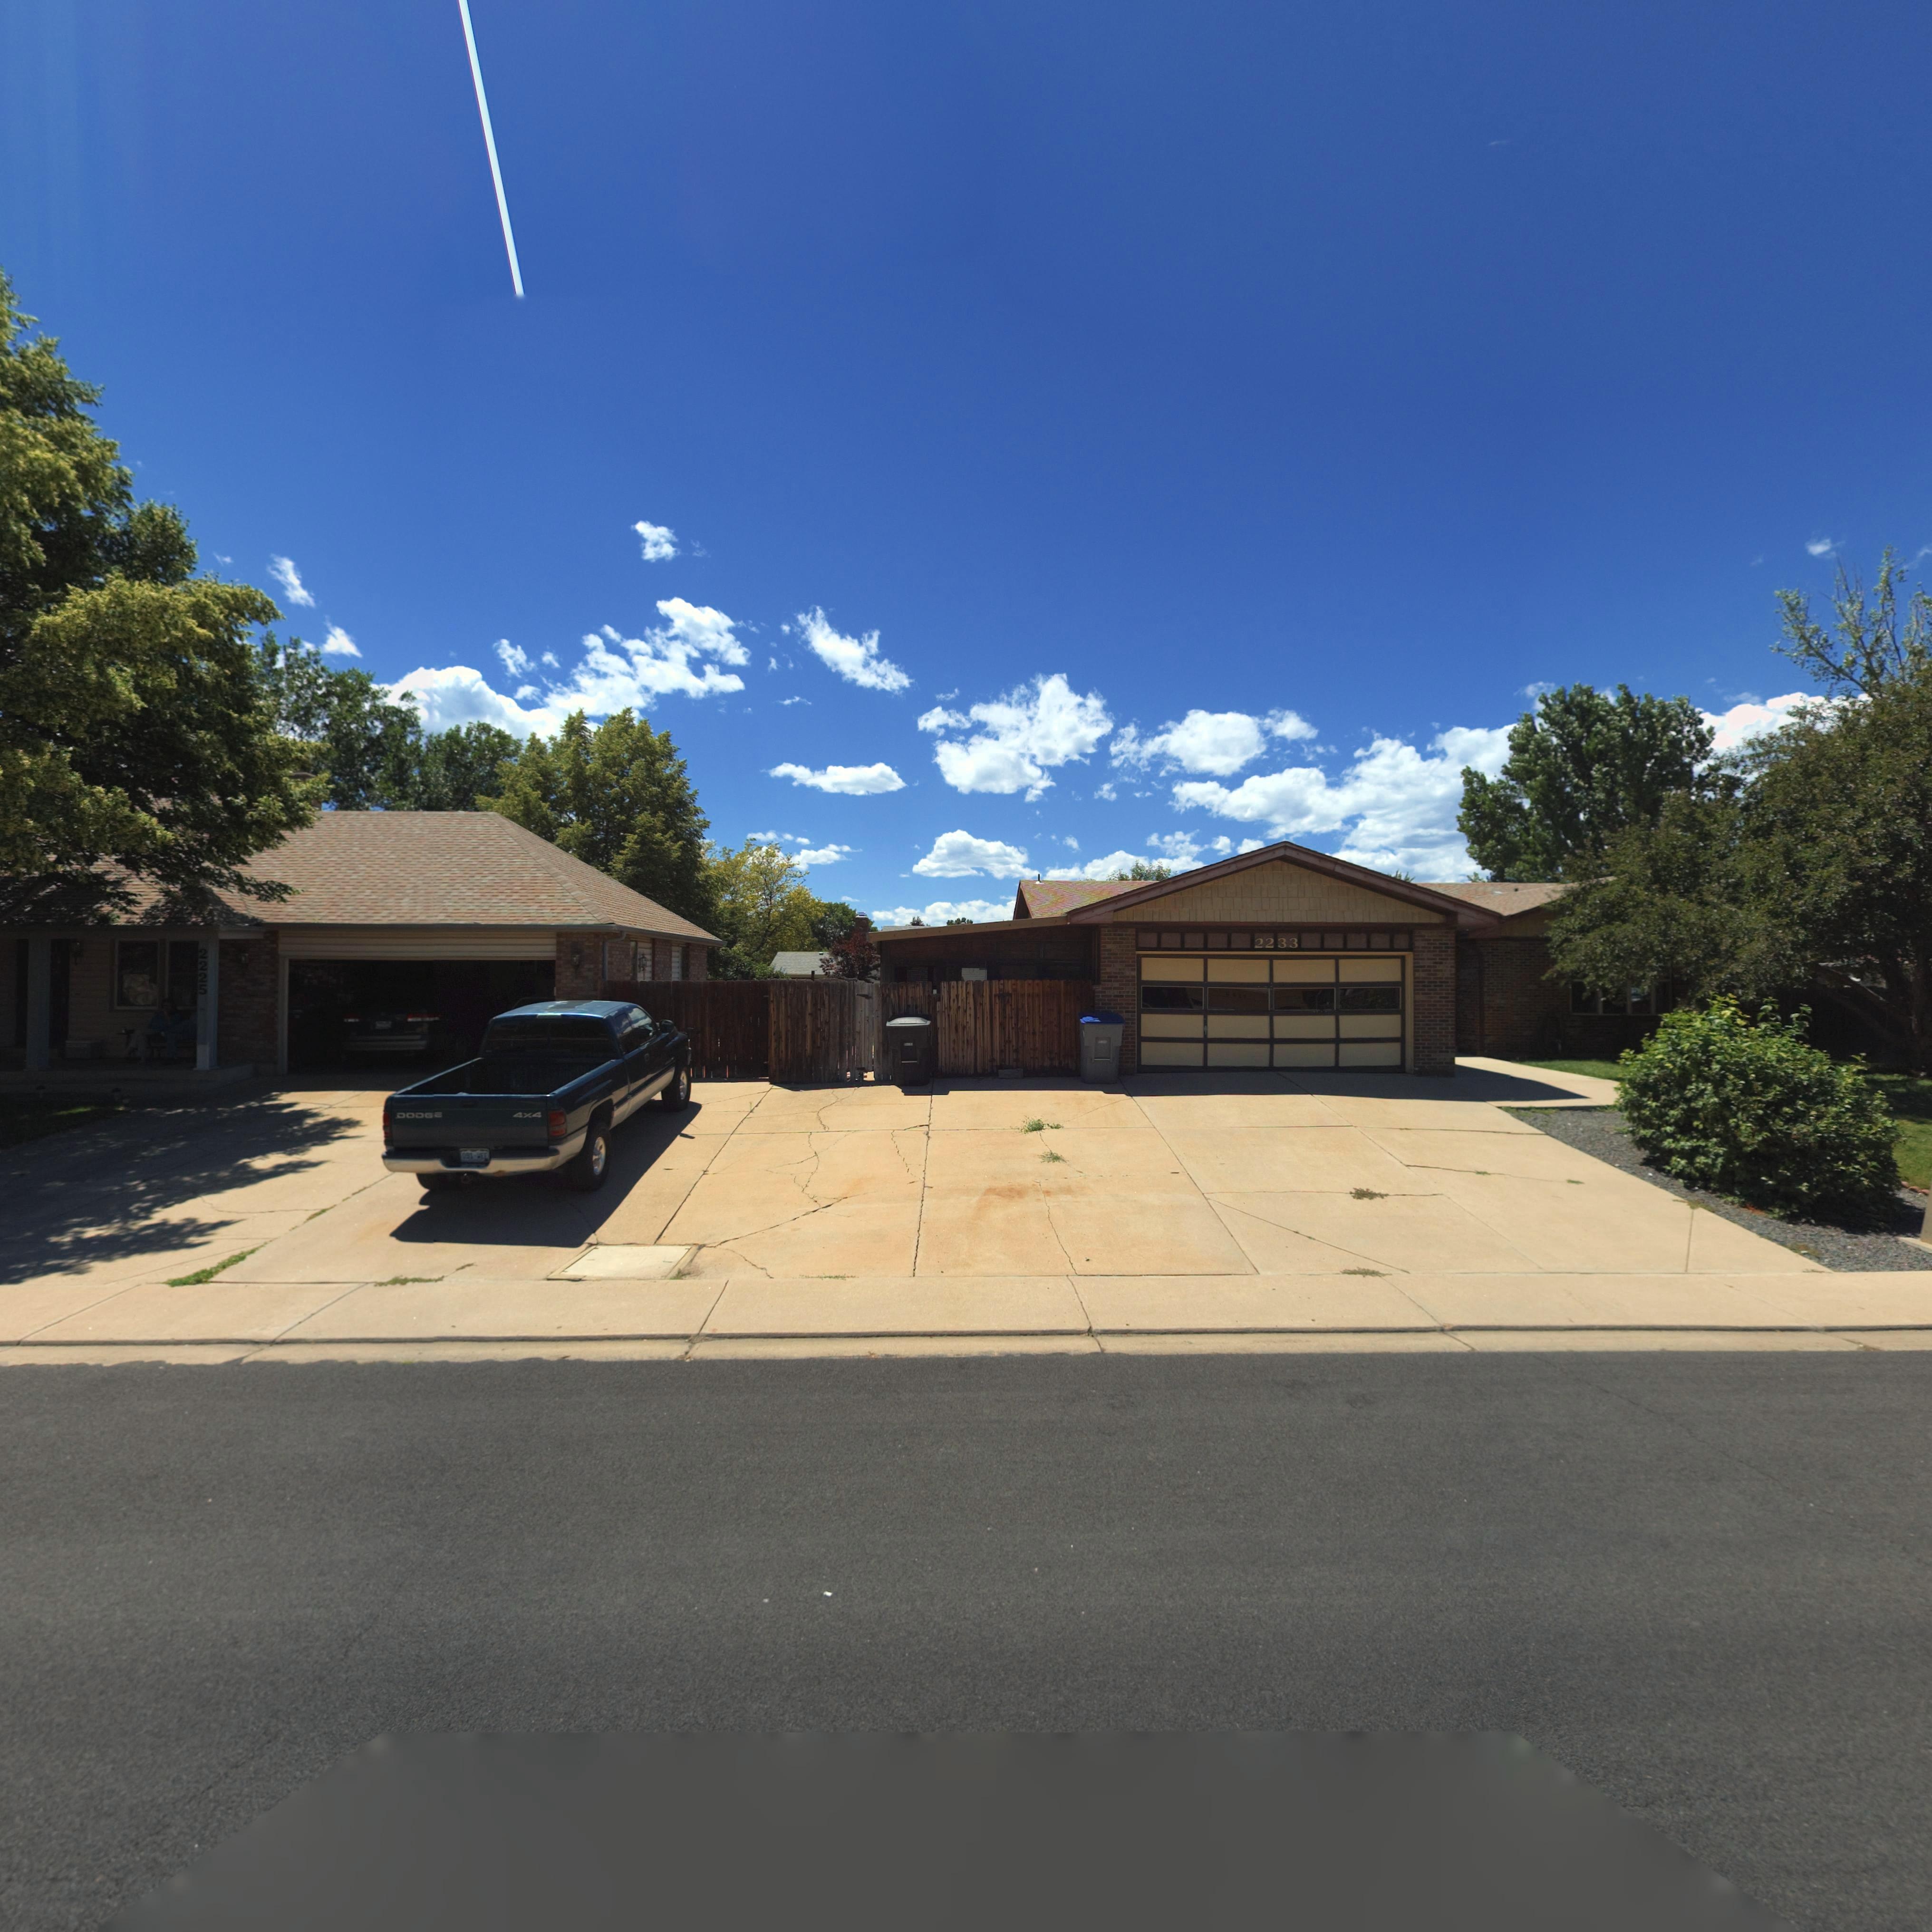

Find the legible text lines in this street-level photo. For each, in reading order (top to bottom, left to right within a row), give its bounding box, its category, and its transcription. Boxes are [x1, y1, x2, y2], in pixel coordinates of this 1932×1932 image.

[1253, 937, 1299, 949] StreetNumber: 2233
[197, 948, 208, 995] StreetNumber: 2225